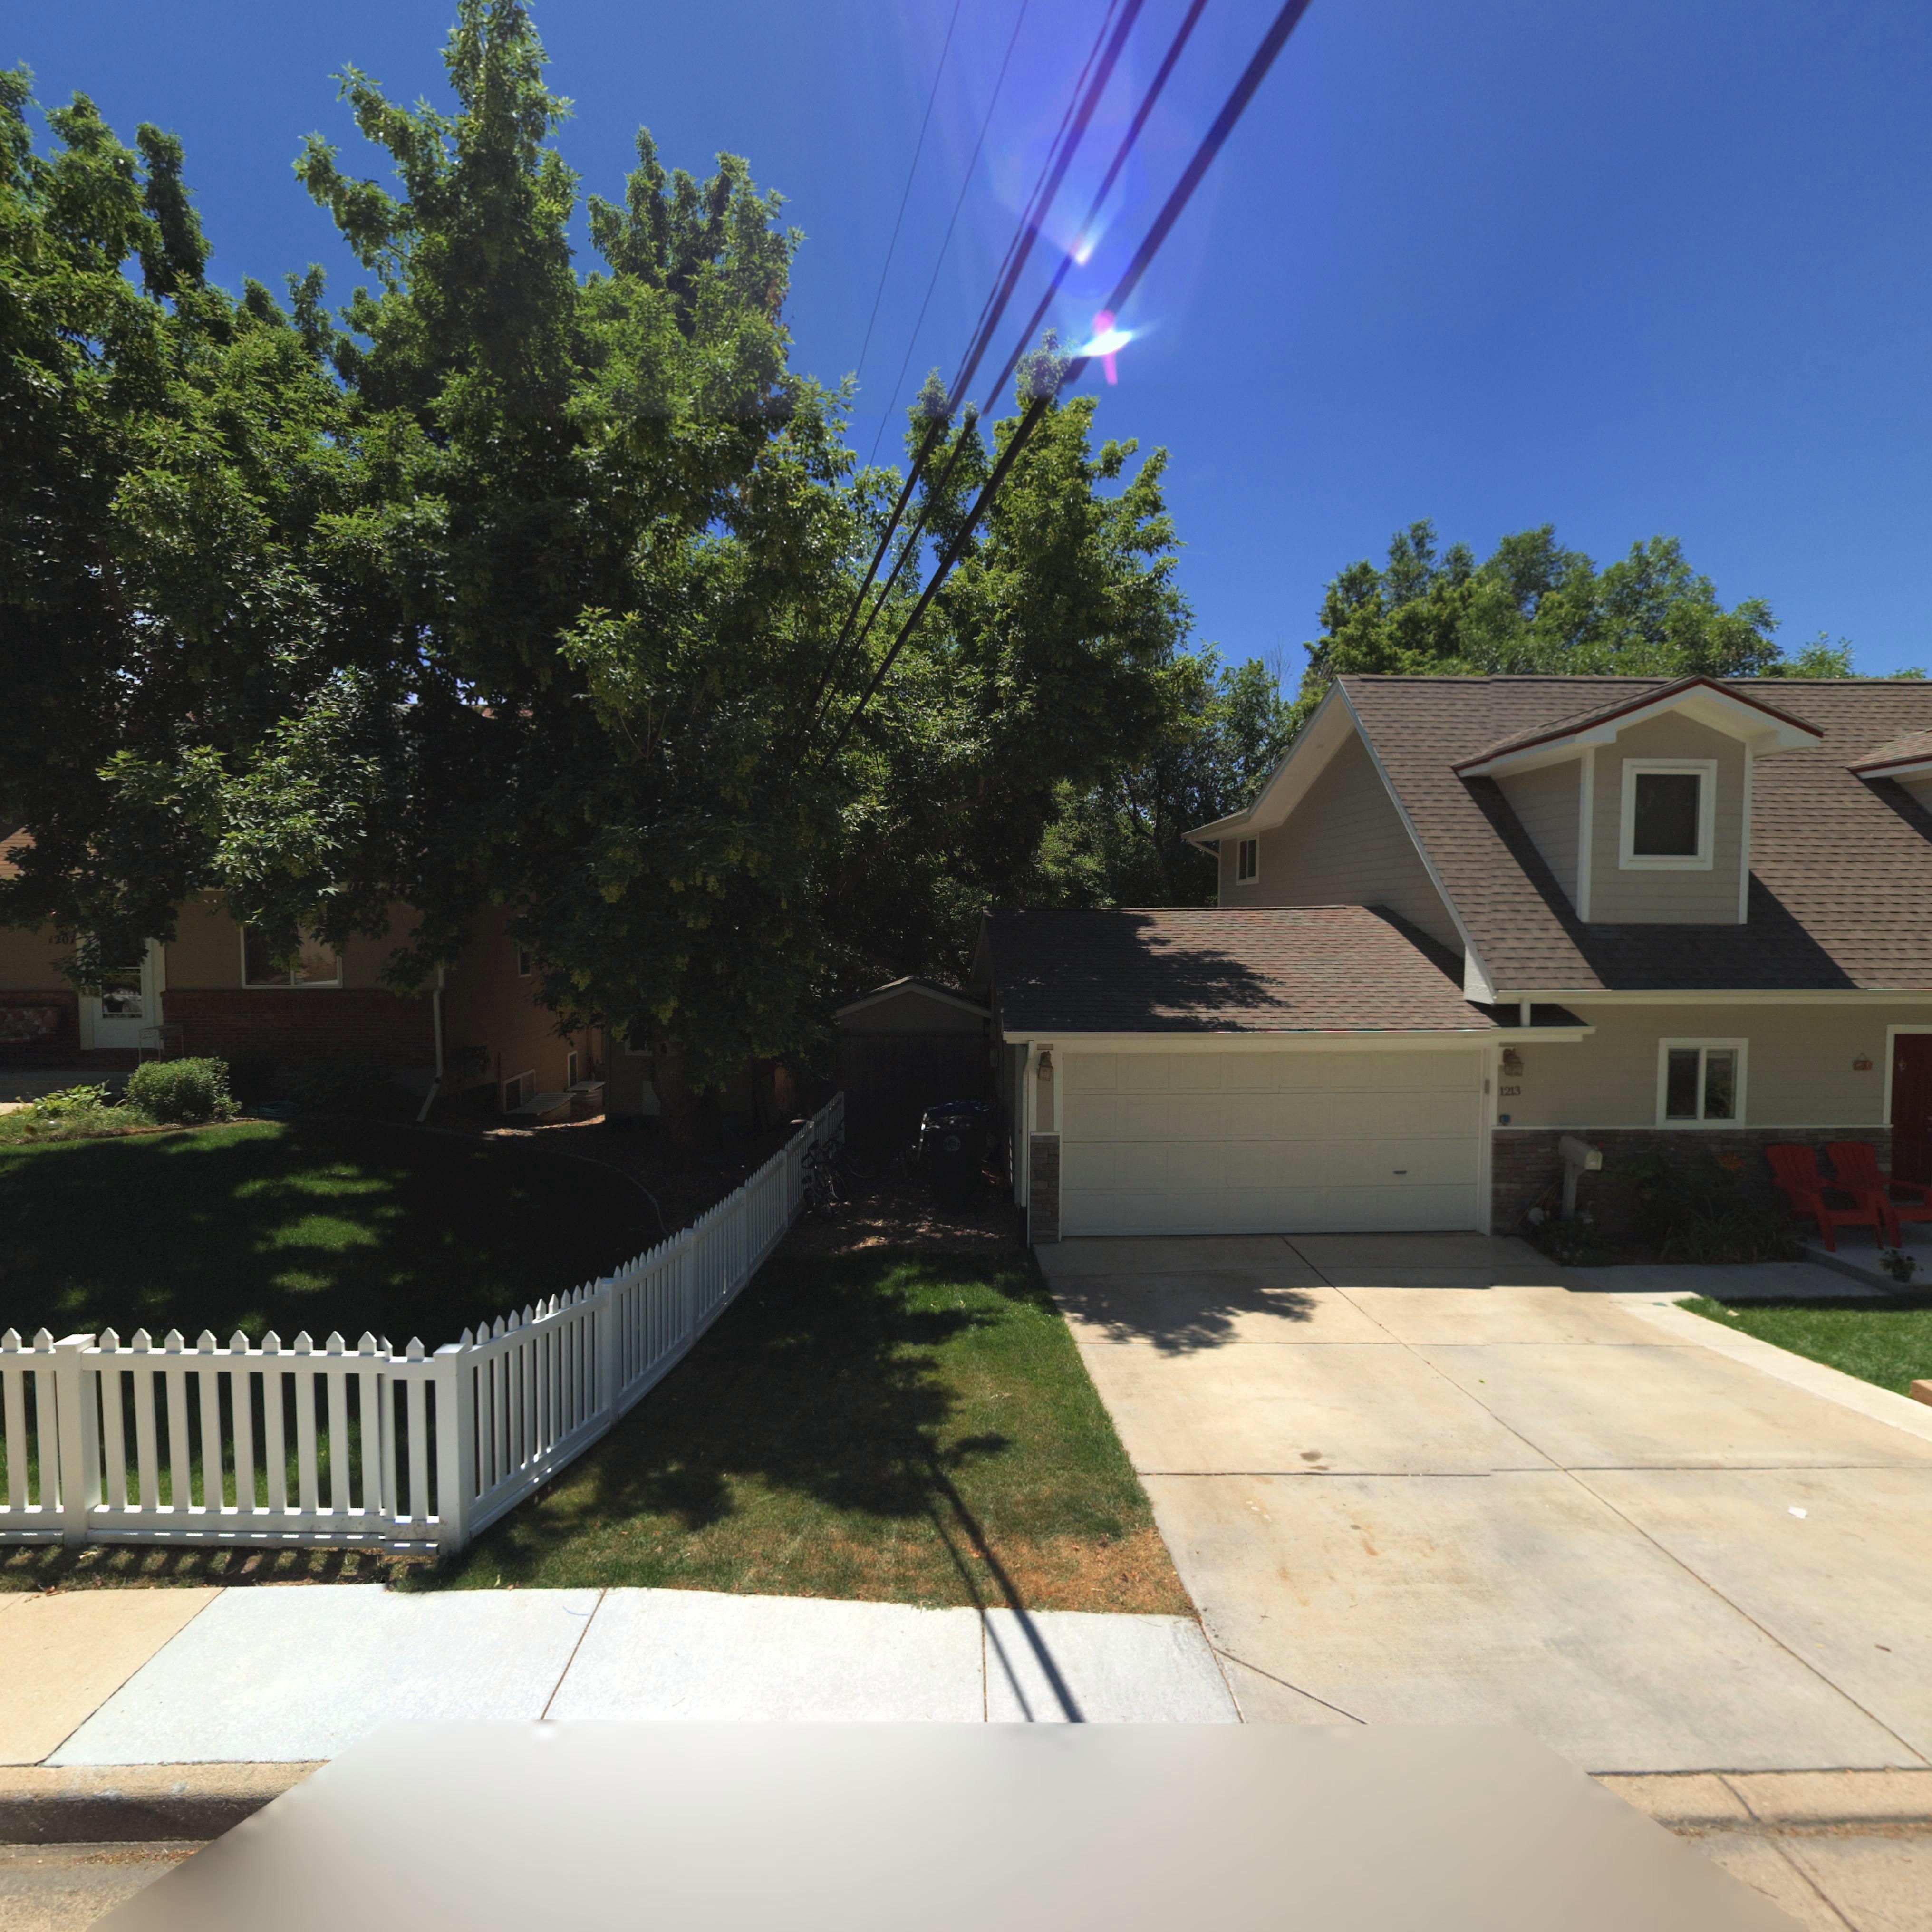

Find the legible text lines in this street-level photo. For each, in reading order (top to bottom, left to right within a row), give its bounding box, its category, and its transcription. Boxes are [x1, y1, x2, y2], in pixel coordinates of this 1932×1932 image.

[48, 935, 76, 944] StreetNumber: 1207
[1499, 1085, 1522, 1096] StreetNumber: 1213